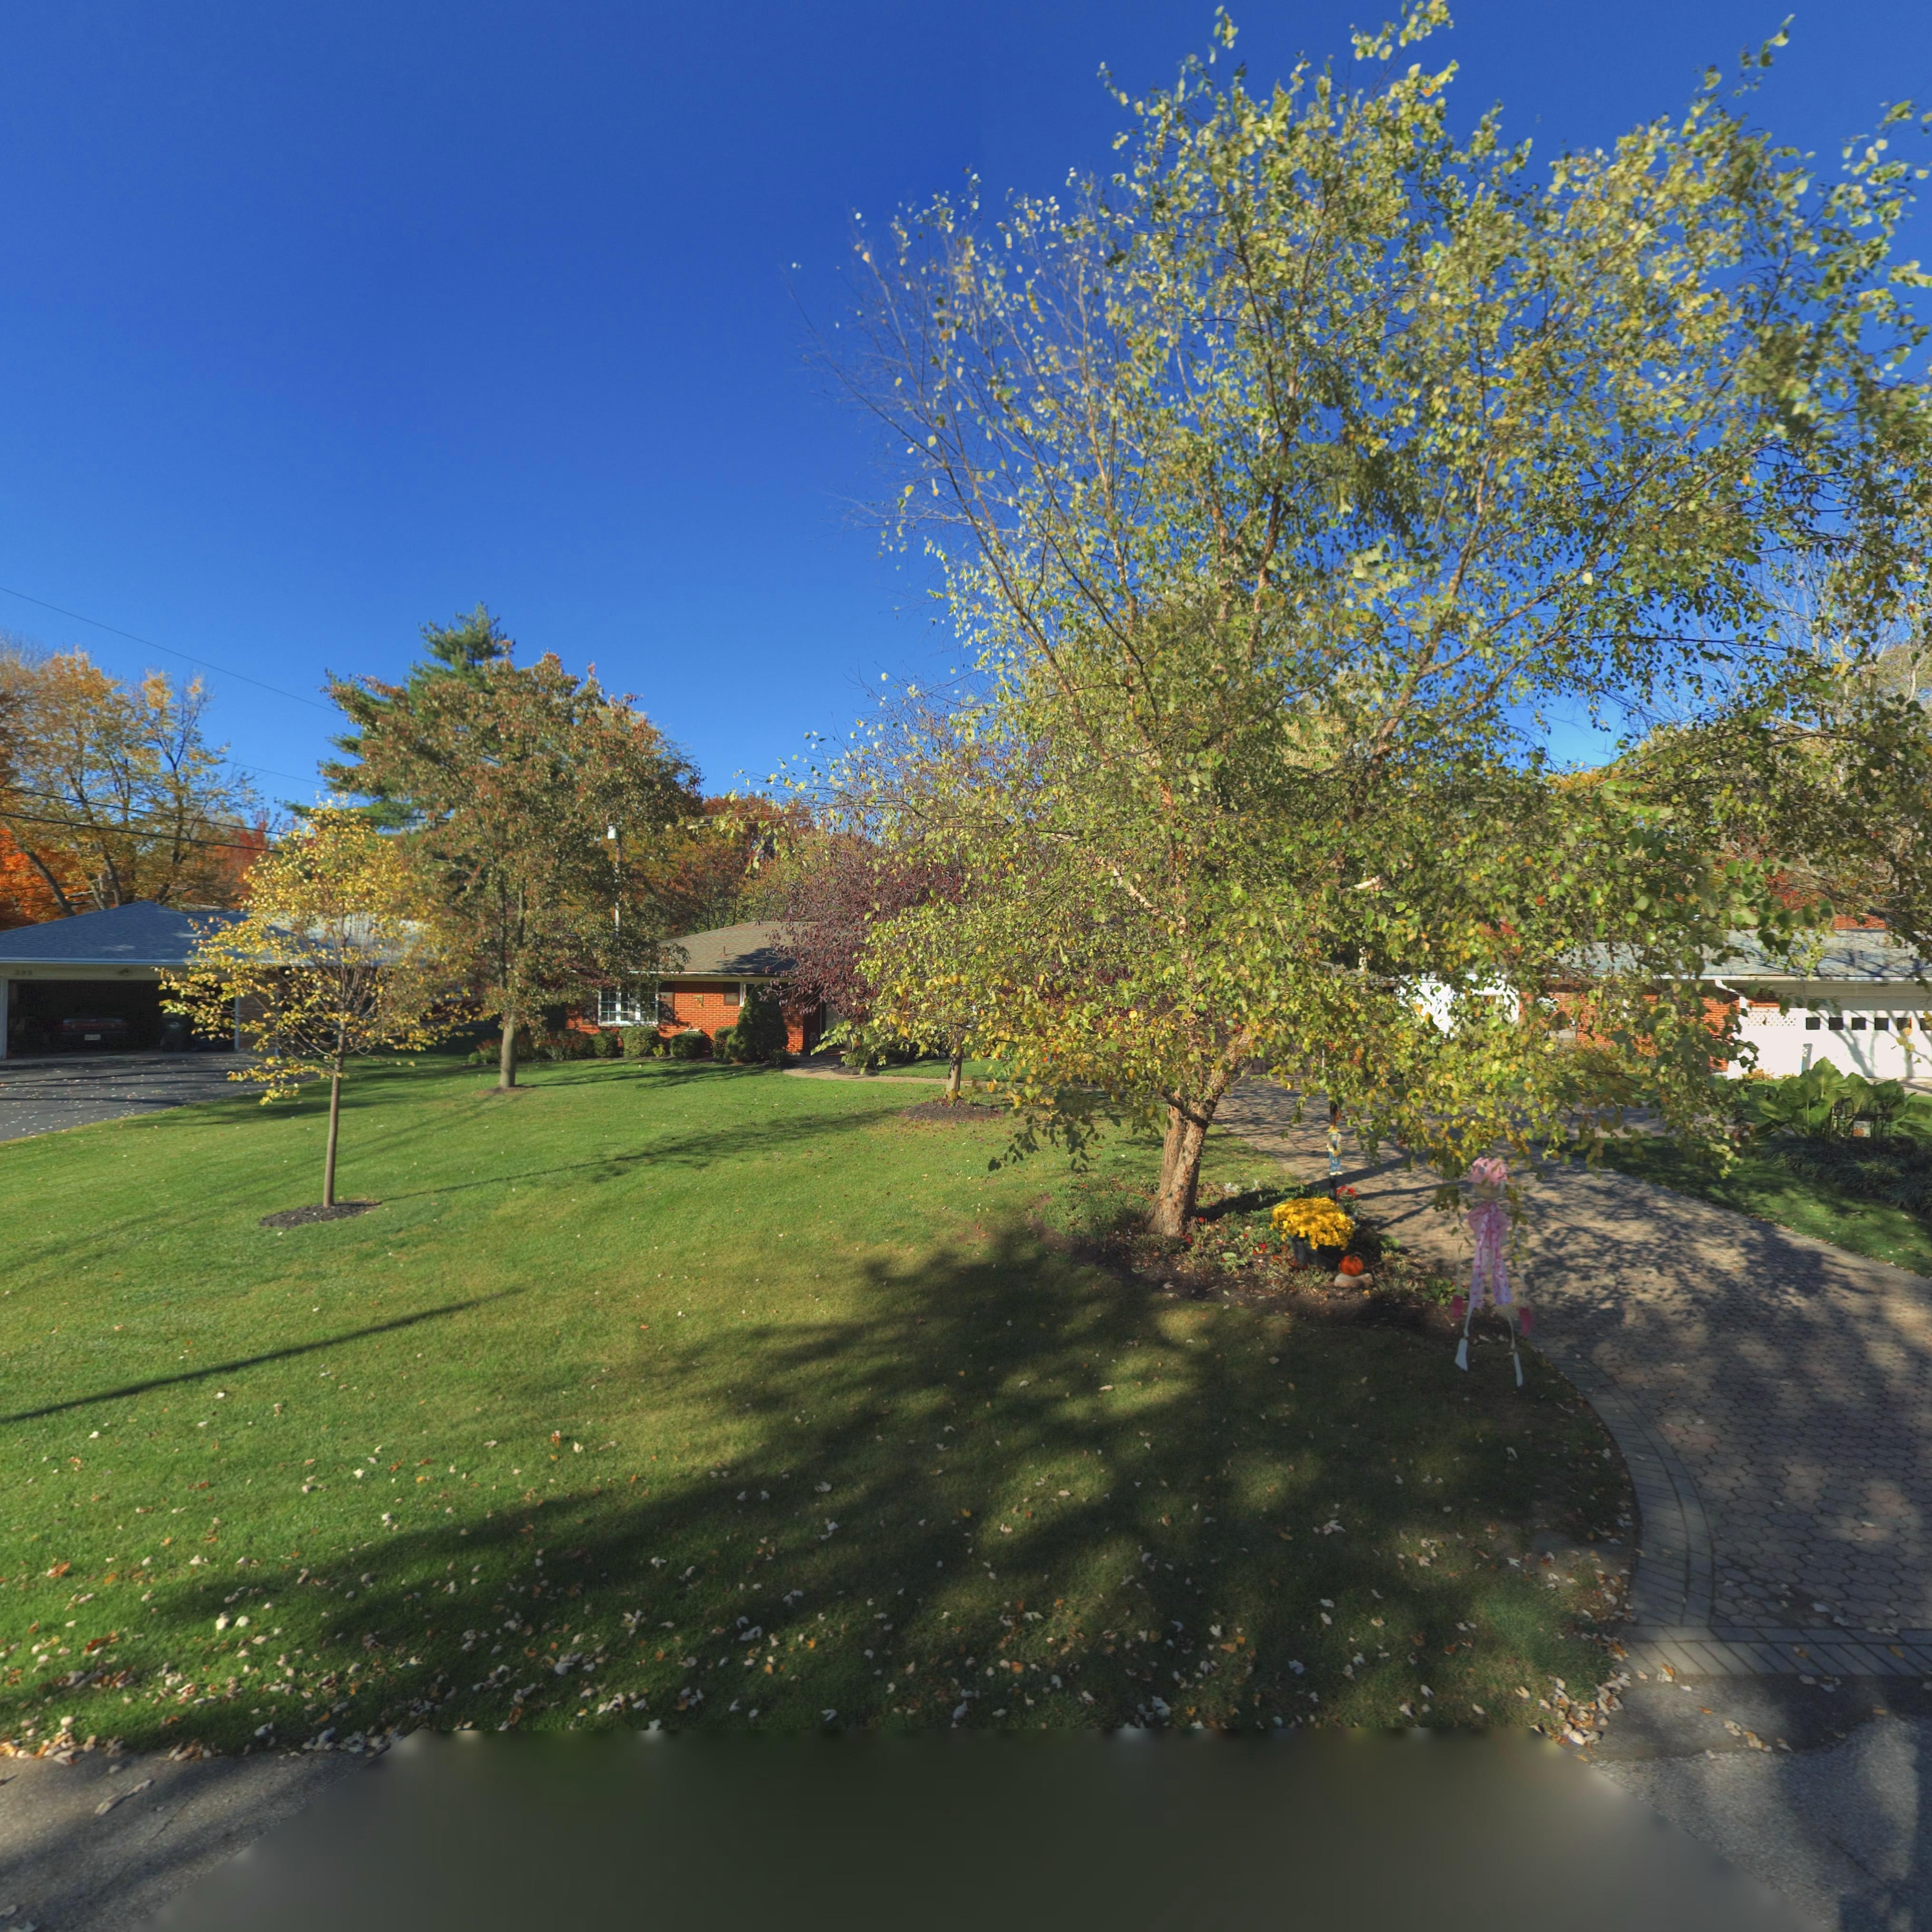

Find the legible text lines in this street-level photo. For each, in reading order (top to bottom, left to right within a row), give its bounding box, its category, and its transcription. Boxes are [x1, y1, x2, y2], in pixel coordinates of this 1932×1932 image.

[13, 969, 33, 976] StreetNumber: 395